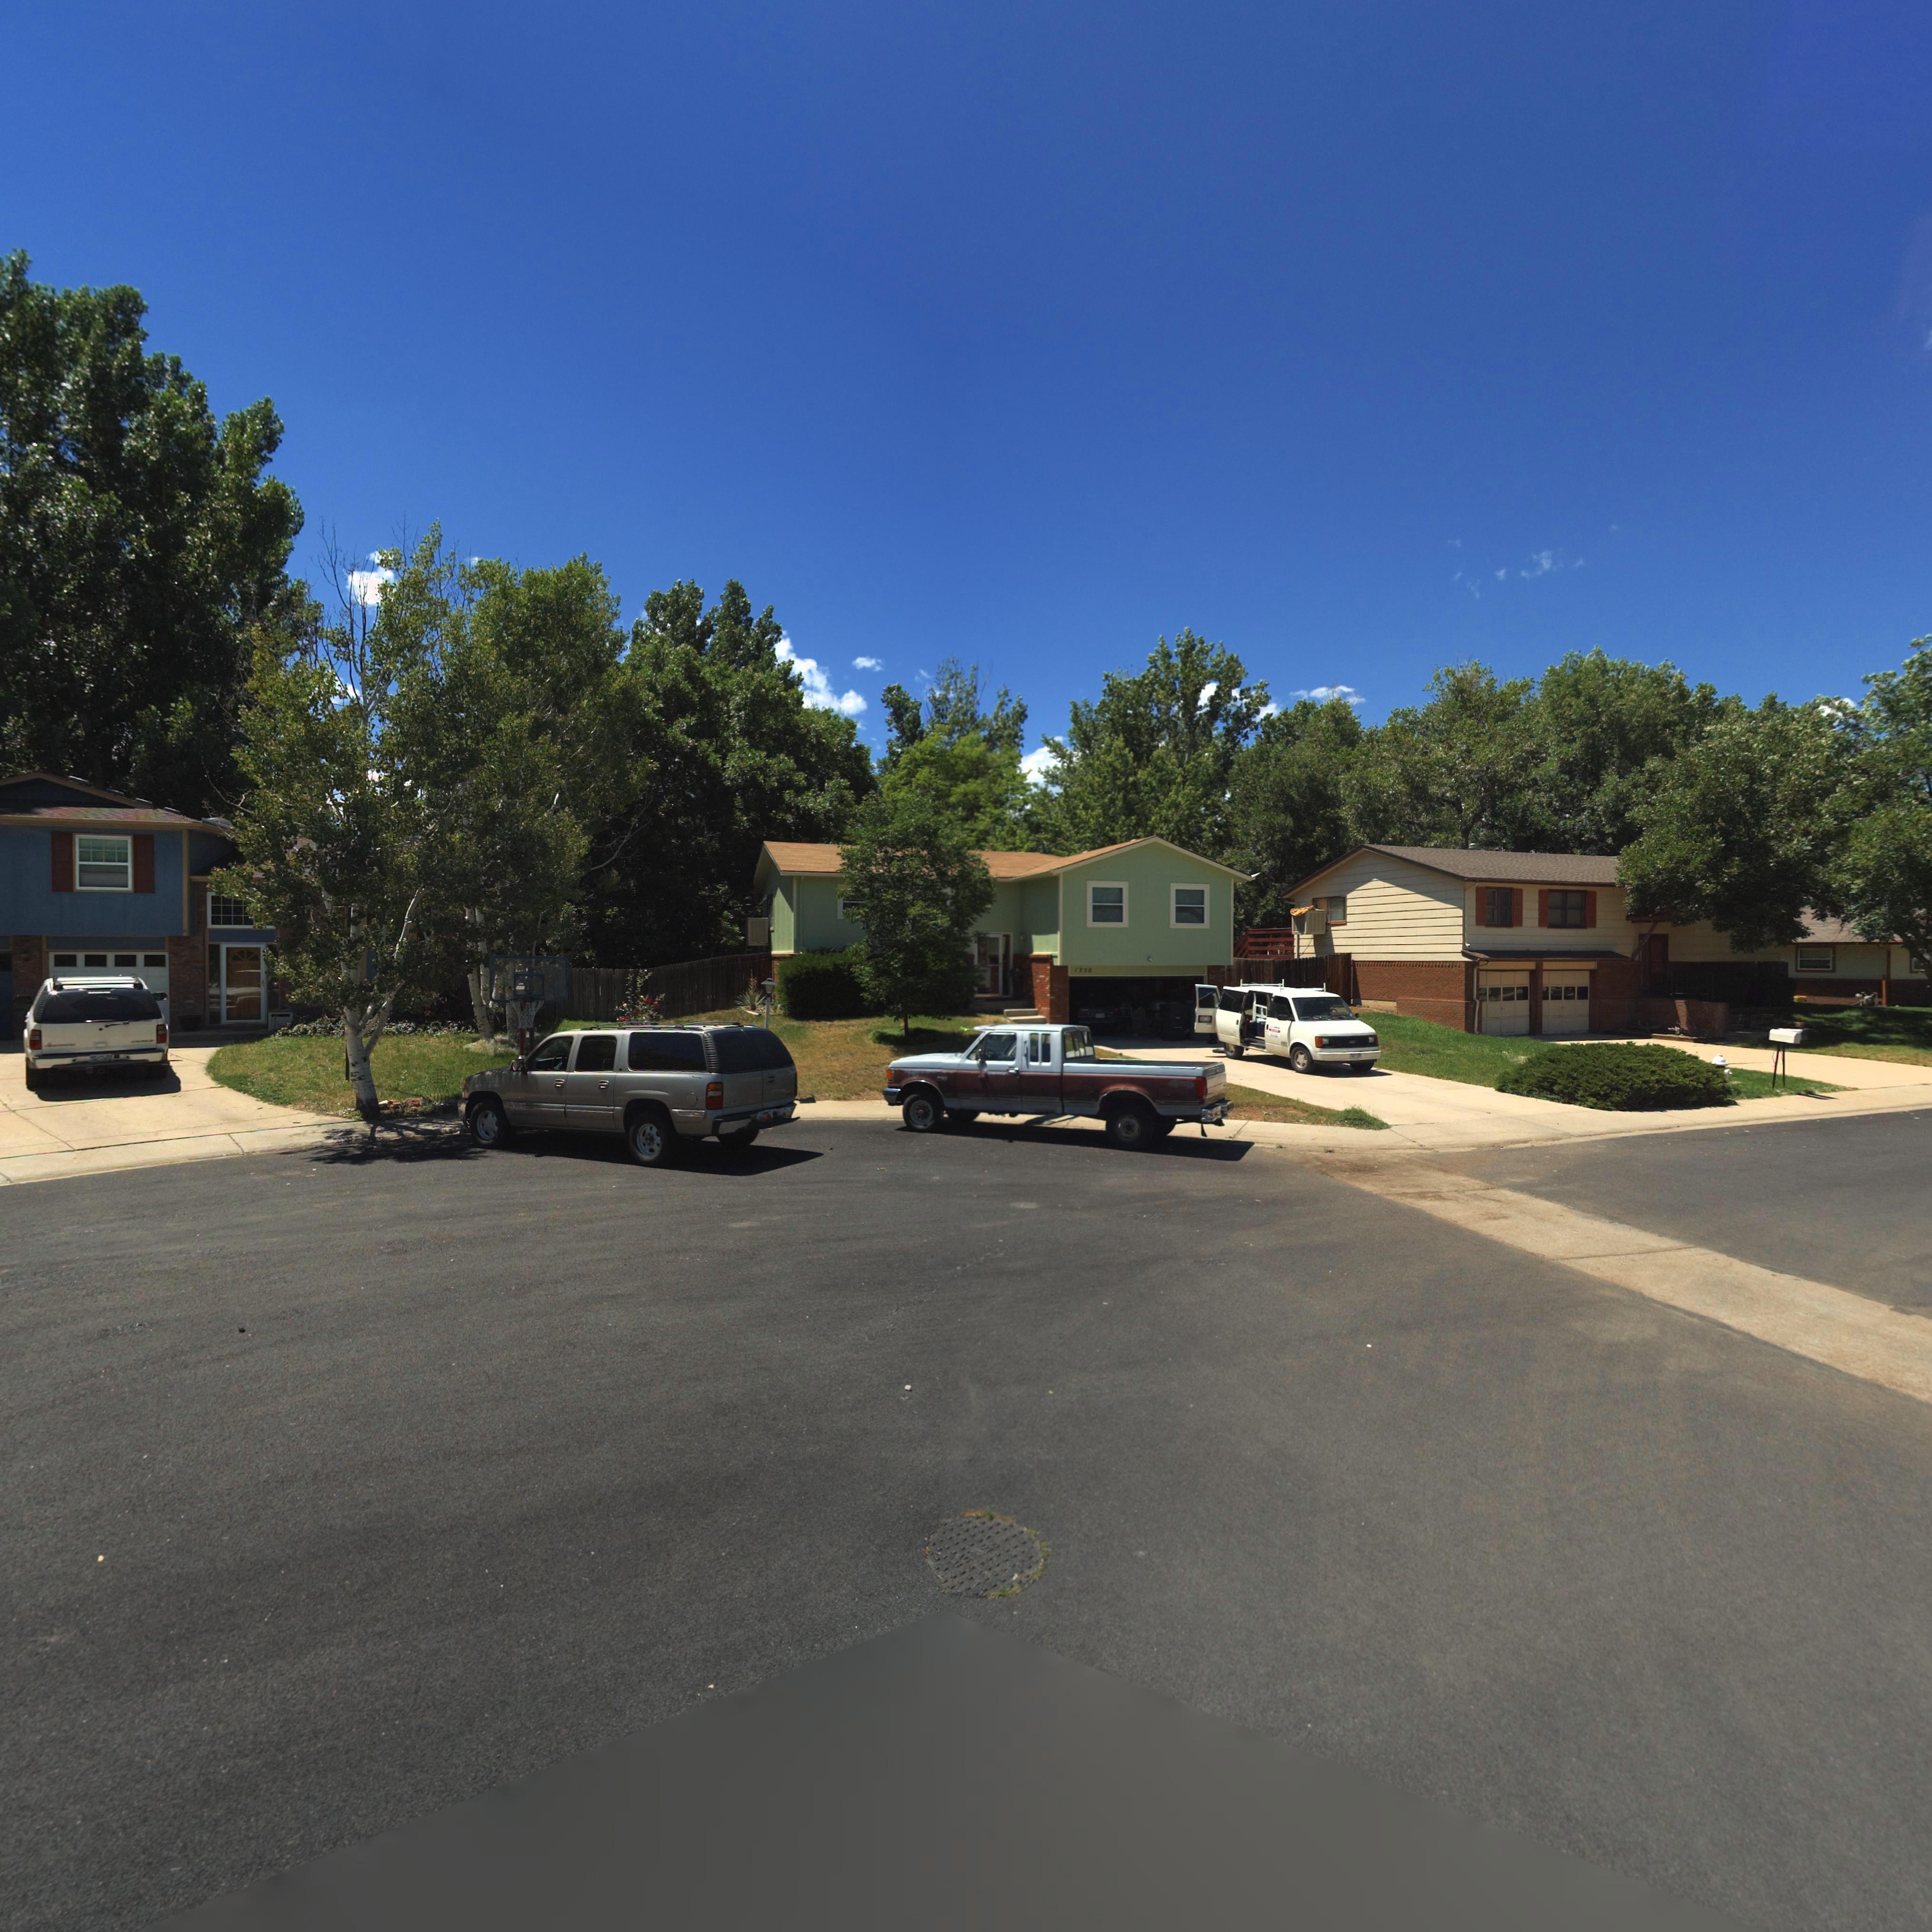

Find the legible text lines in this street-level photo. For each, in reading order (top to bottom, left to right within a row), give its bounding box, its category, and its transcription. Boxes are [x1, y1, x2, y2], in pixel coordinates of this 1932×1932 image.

[1074, 967, 1092, 973] StreetNumber: 1350